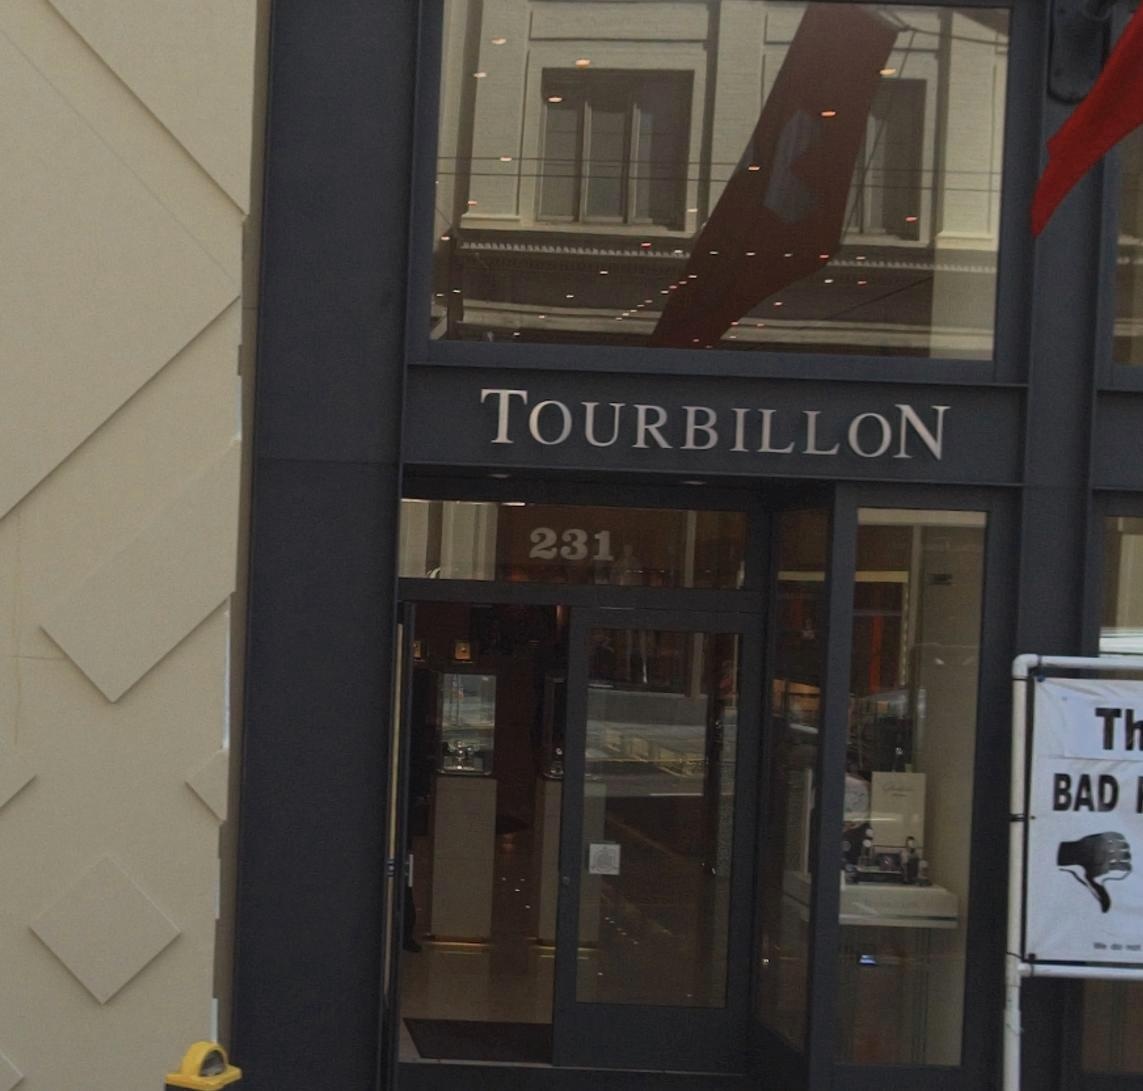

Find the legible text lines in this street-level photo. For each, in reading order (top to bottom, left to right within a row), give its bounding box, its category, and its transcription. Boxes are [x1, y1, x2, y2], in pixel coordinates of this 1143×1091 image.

[473, 386, 955, 463] BusinessName: TOURBILLON
[528, 526, 616, 562] StreetNumber: 231
[1091, 705, 1124, 754] None: T
[1049, 770, 1121, 815] None: BAD